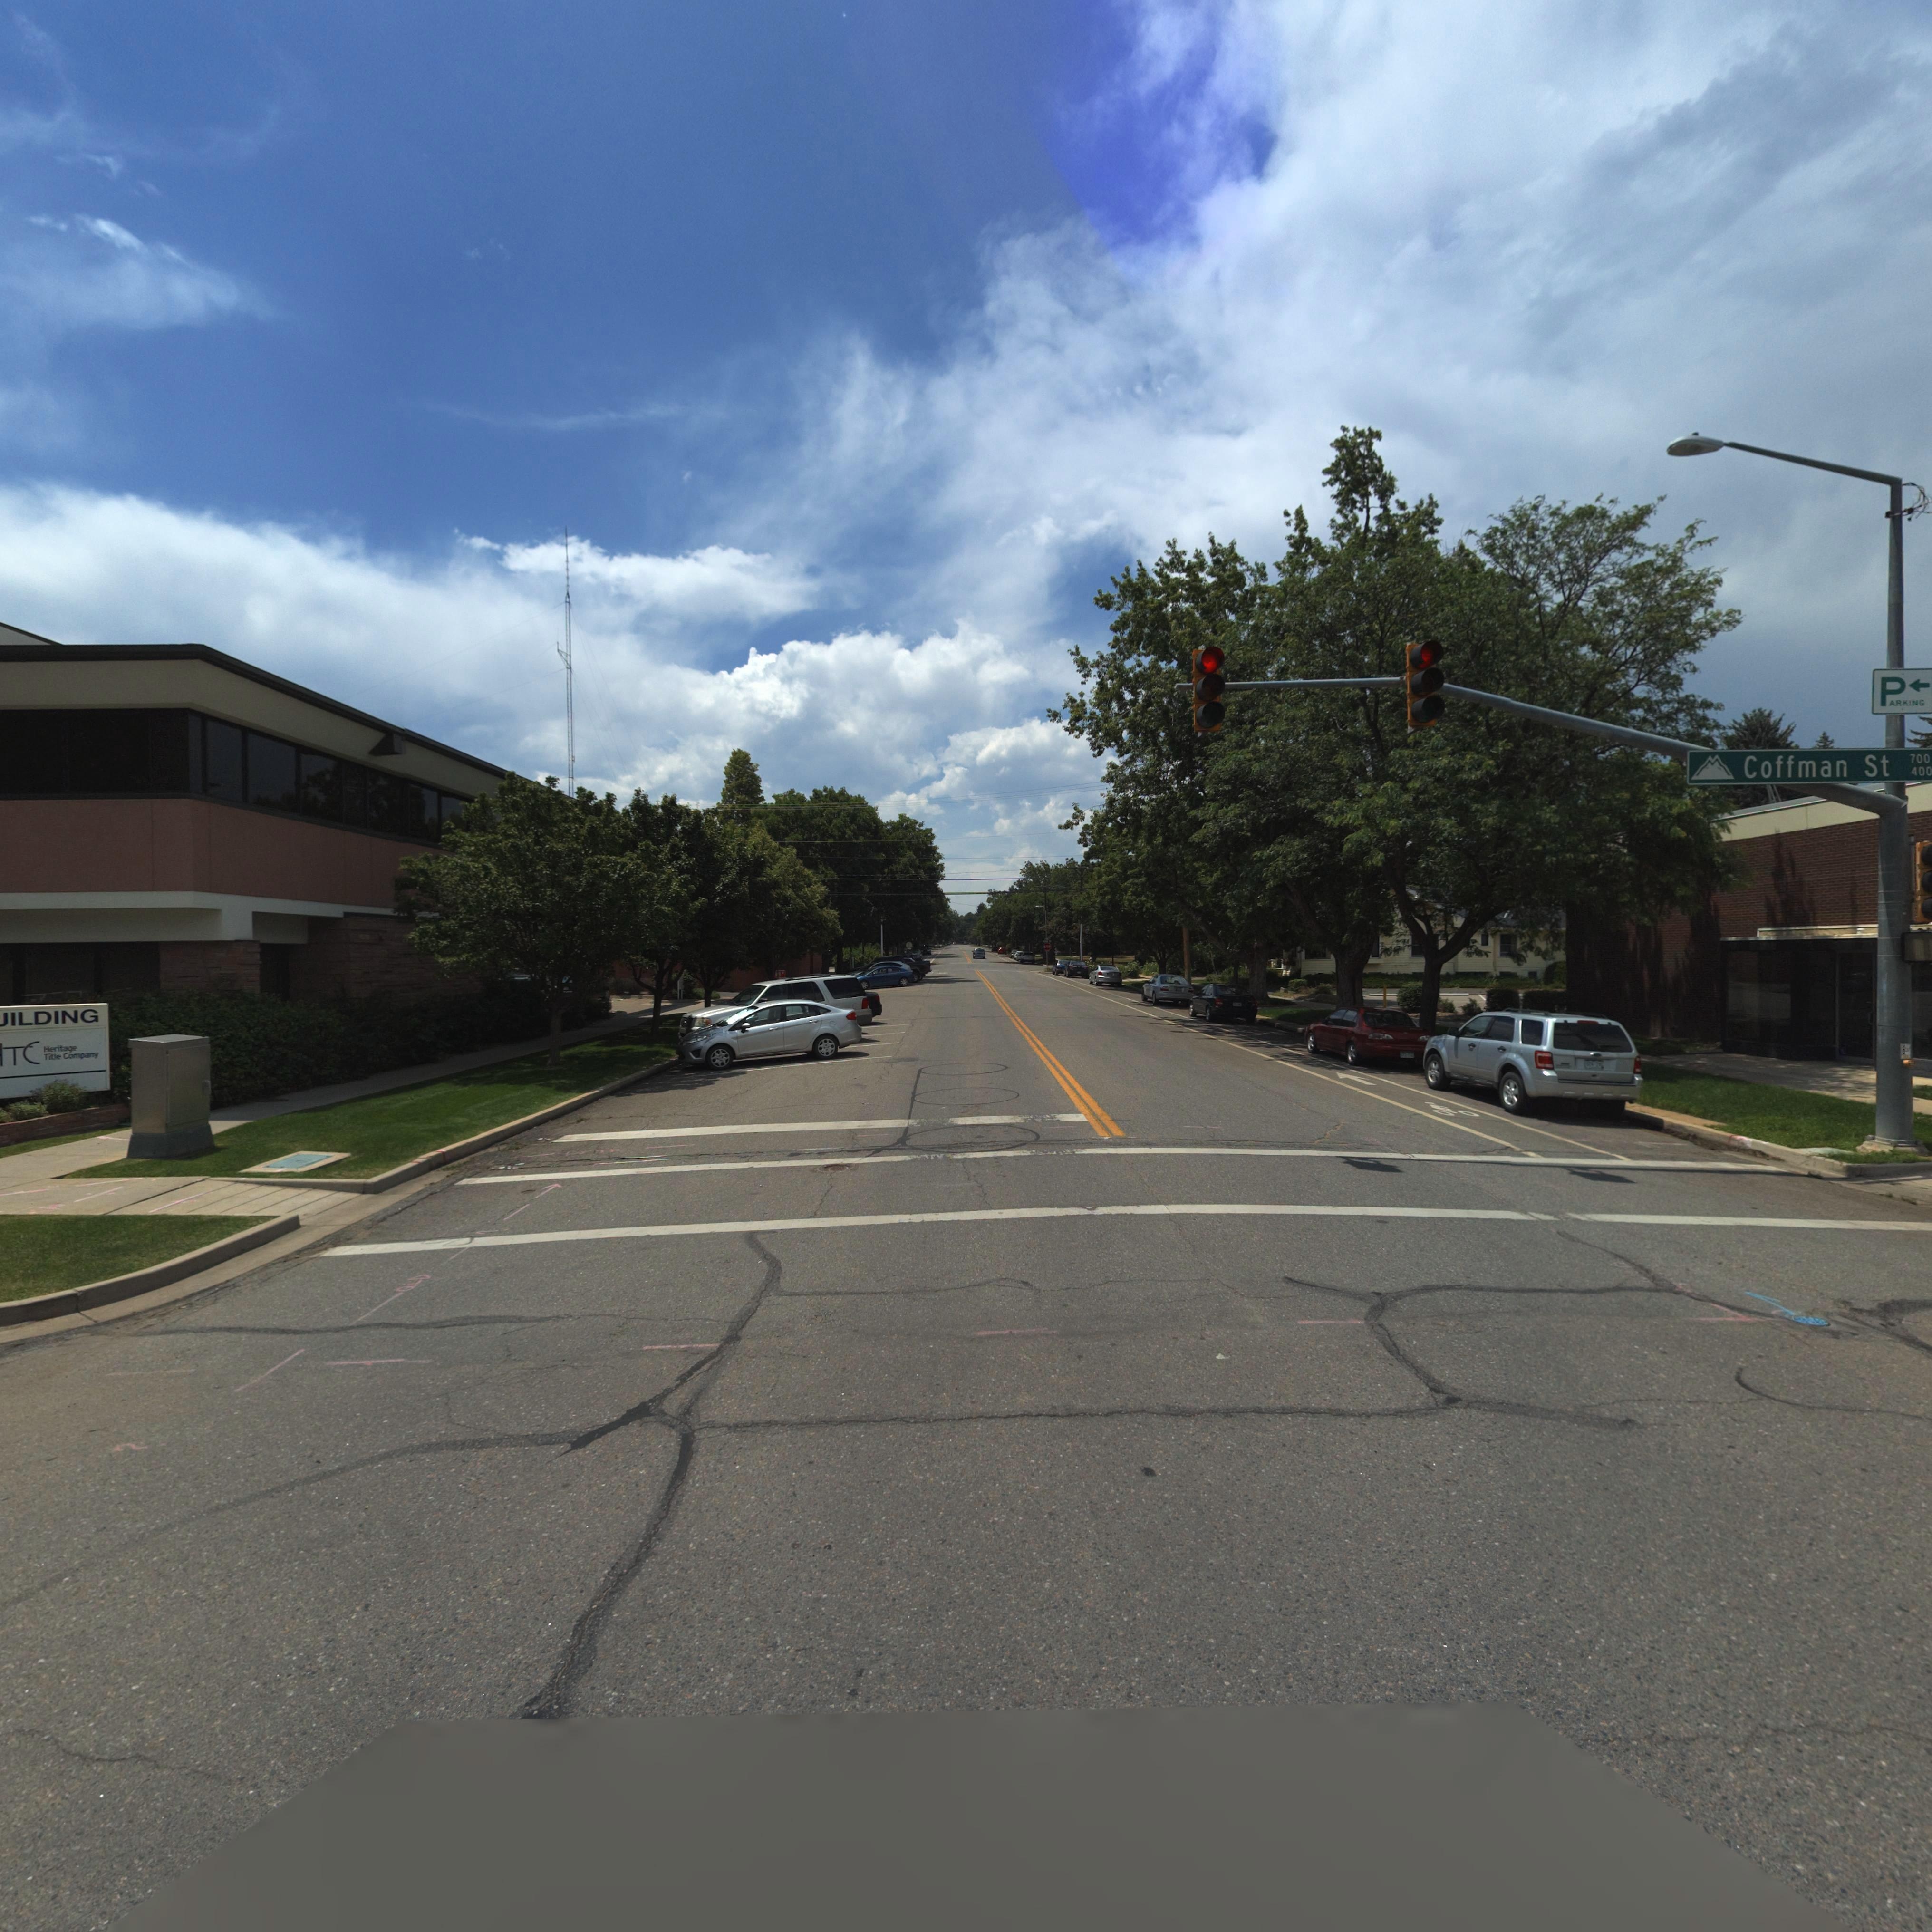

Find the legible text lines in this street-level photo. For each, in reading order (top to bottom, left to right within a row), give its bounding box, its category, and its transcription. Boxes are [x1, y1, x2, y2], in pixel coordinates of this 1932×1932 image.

[1908, 753, 1930, 763] StreetNumberRange: 700
[1744, 754, 1890, 779] StreetName: Coffman St
[1910, 766, 1932, 776] StreetNumberRange: 400
[2, 1041, 40, 1066] BusinessName: TC
[43, 1044, 77, 1053] BusinessName: Heritage
[43, 1052, 100, 1060] BusinessName: Title Company